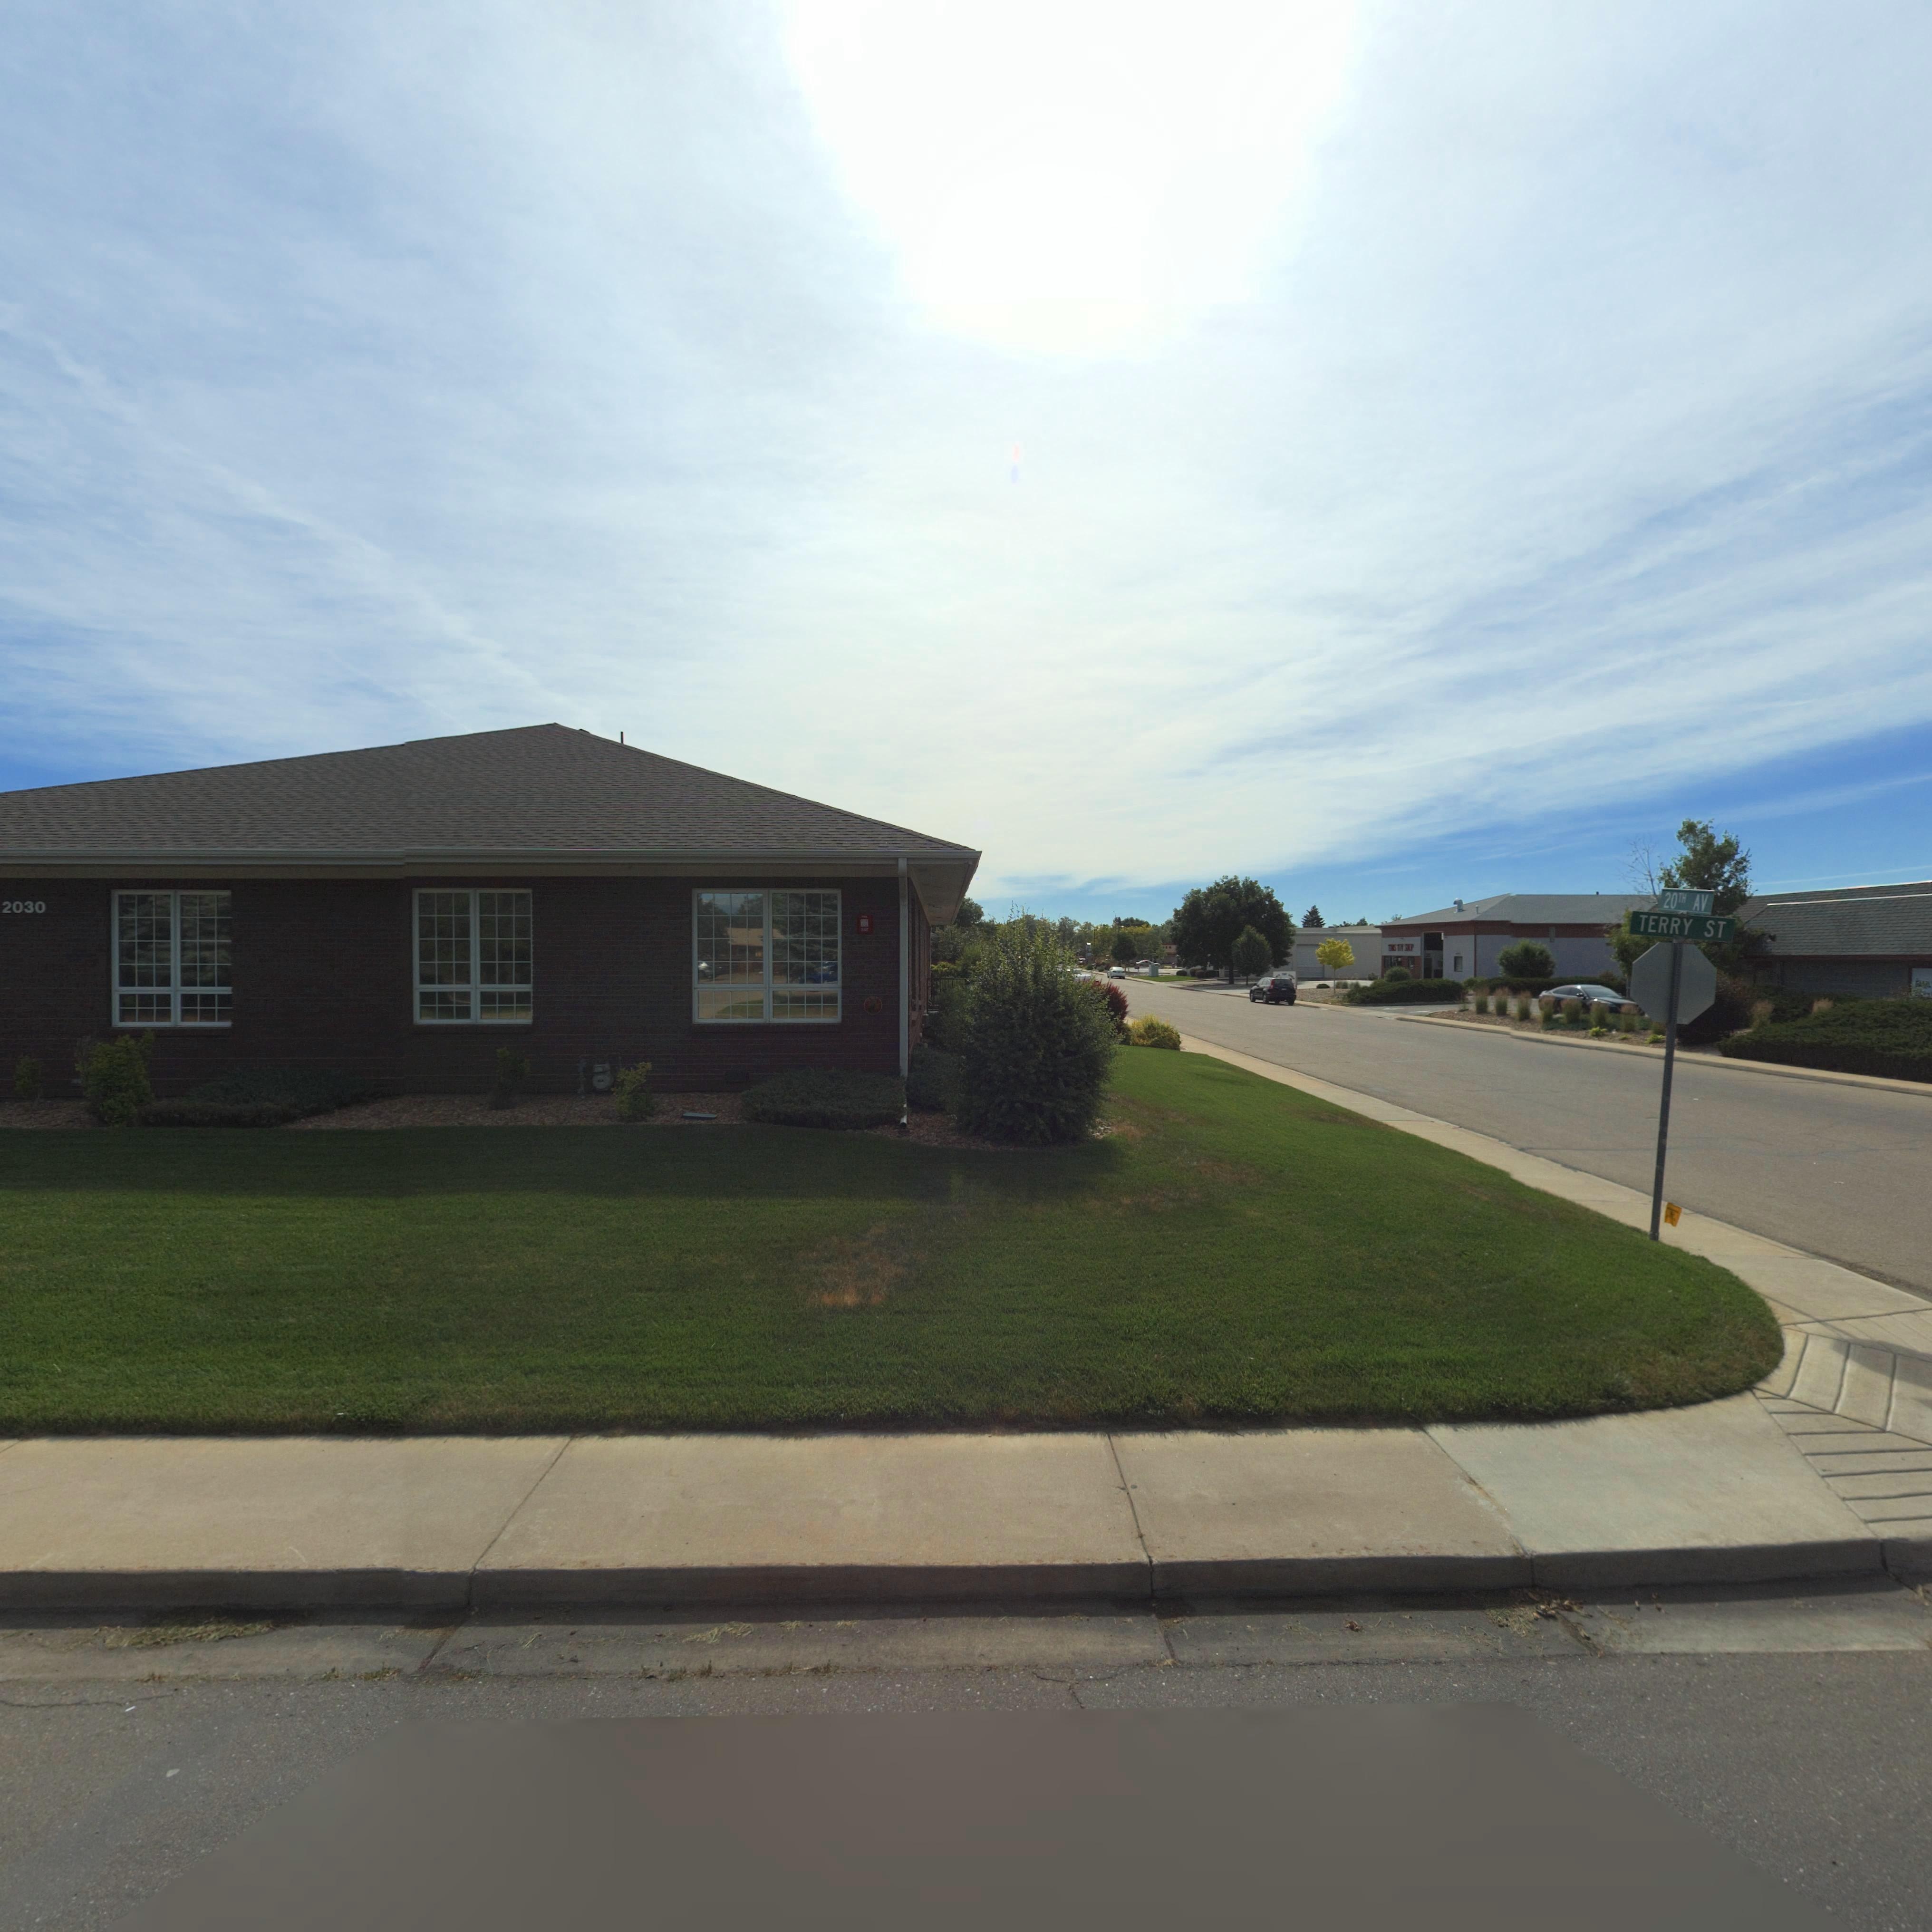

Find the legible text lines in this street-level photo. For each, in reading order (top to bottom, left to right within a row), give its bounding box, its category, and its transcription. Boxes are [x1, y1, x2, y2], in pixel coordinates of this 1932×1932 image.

[0, 900, 47, 914] StreetNumber: 2030
[1662, 891, 1710, 912] StreetName: 20TH AV
[1638, 914, 1727, 939] StreetName: TERRY ST
[1387, 943, 1414, 951] BusinessName: T***S **** S*O*